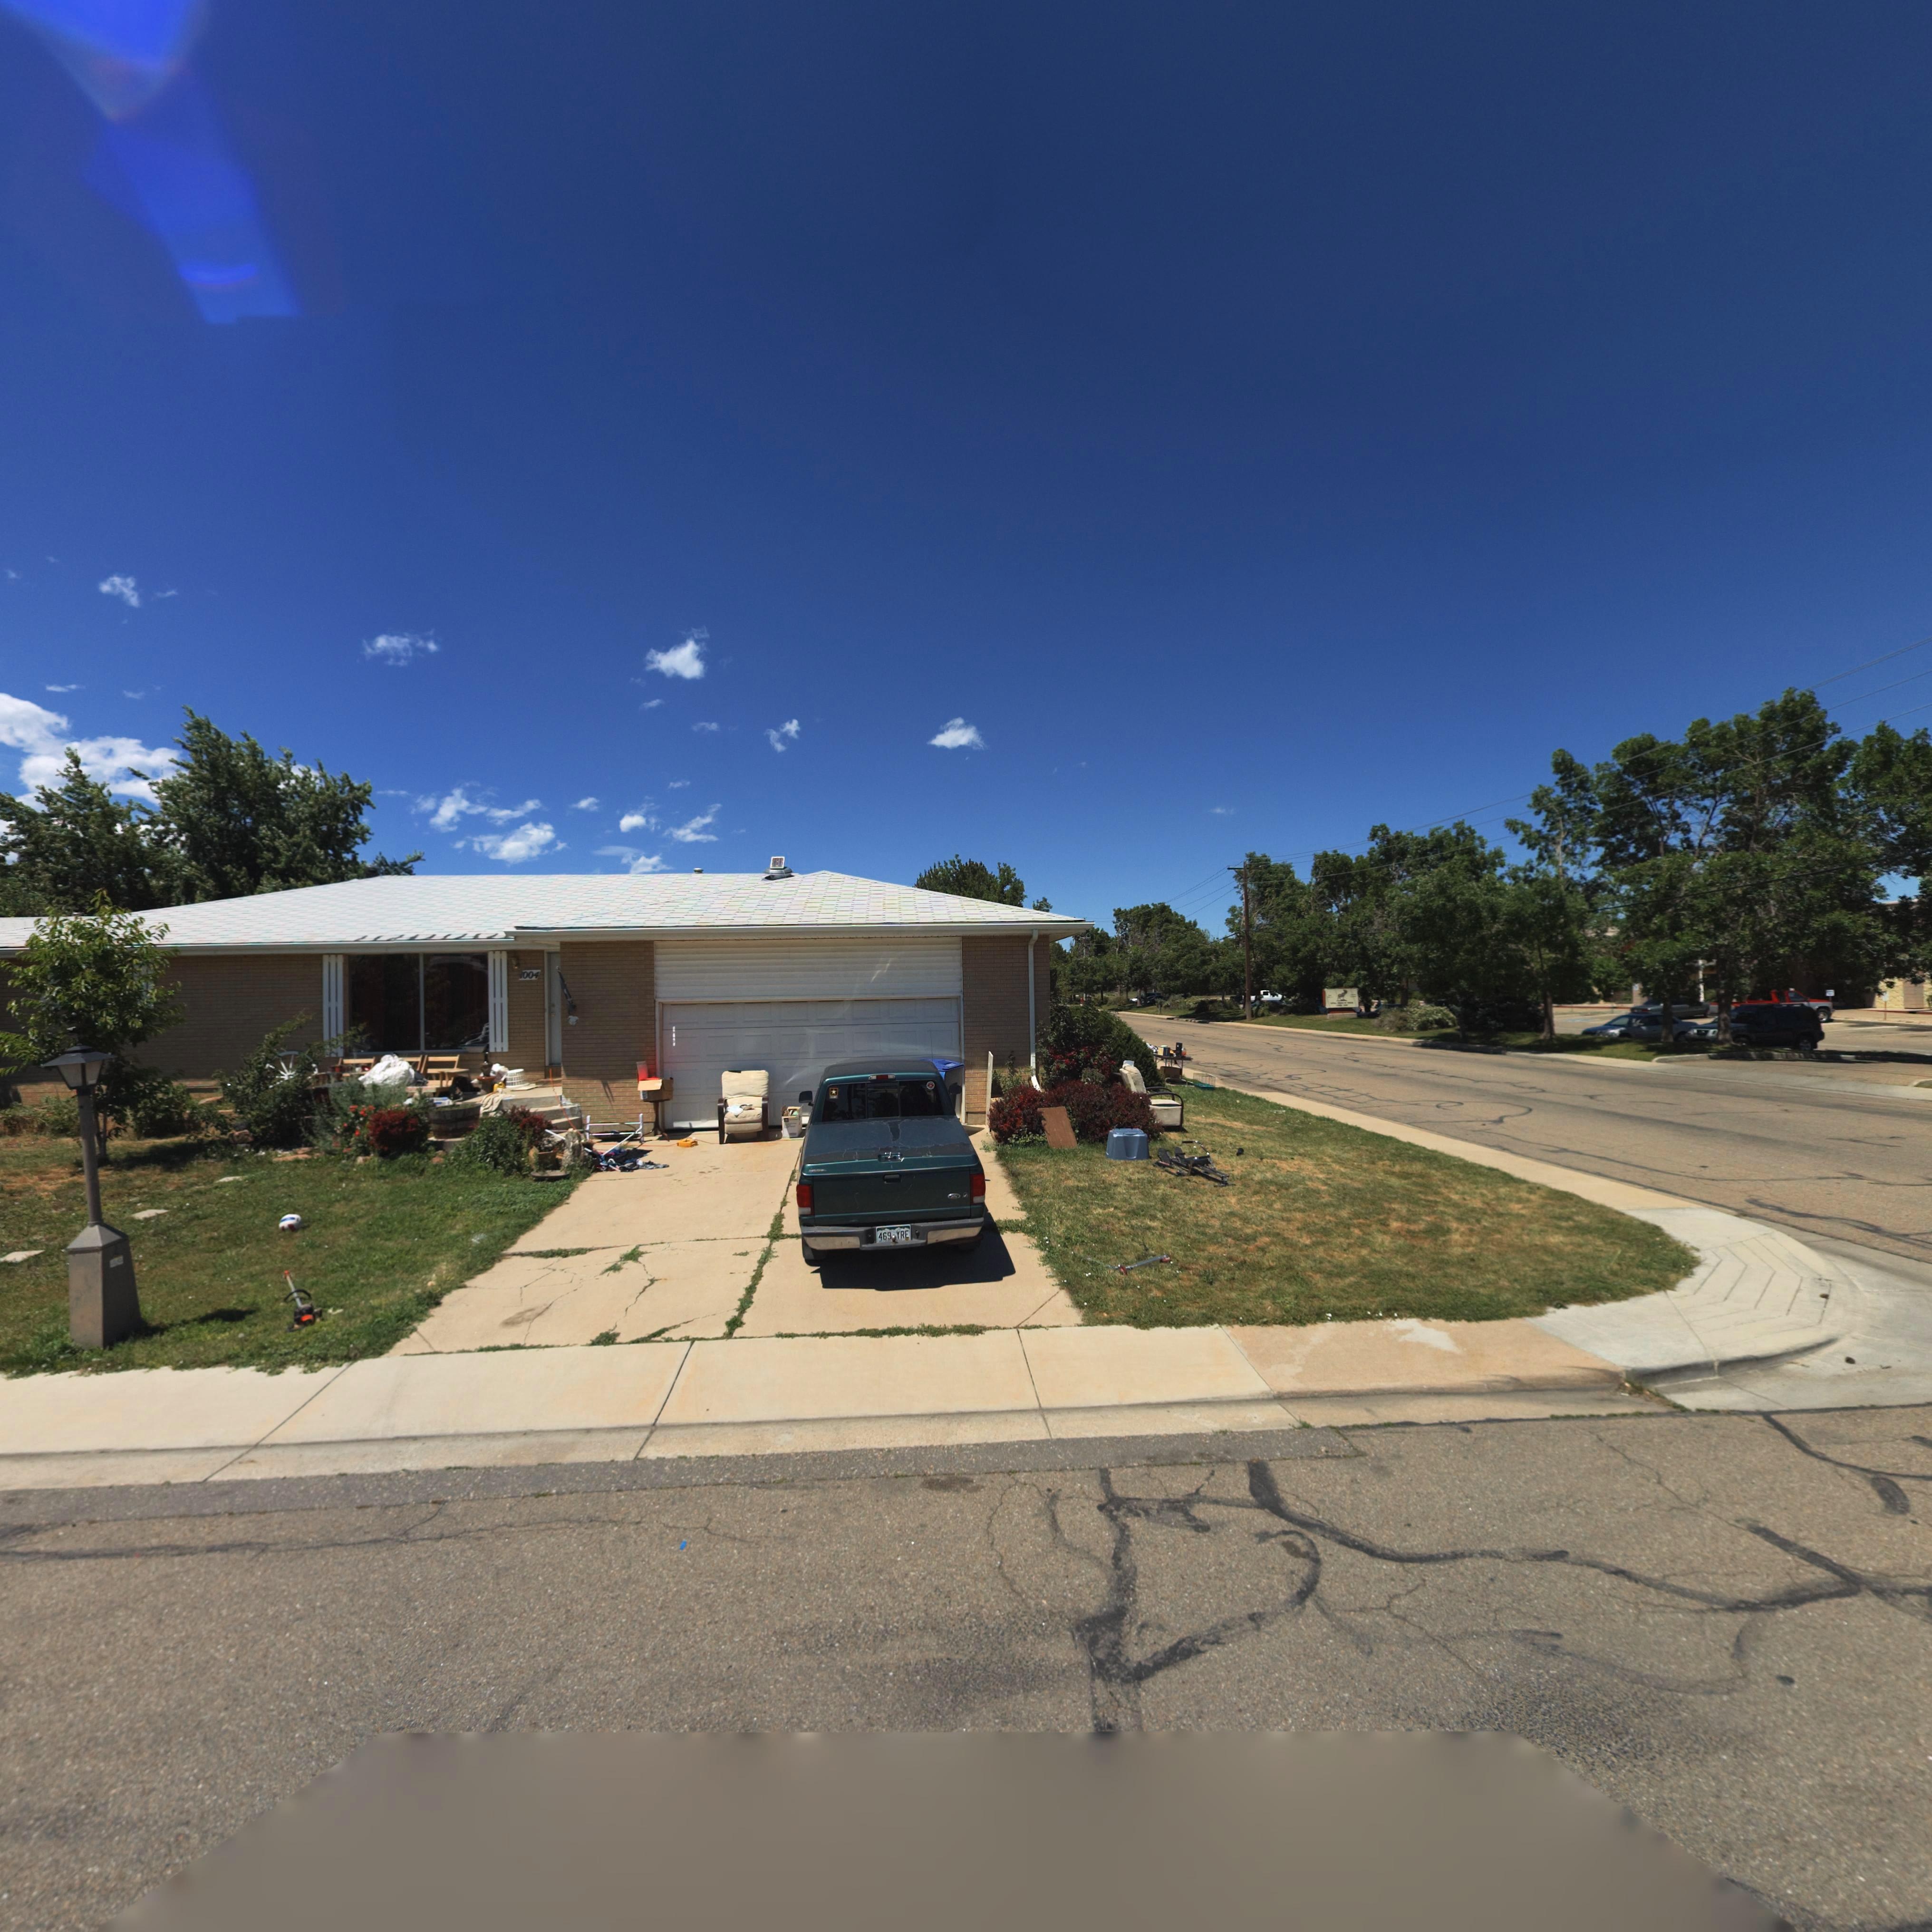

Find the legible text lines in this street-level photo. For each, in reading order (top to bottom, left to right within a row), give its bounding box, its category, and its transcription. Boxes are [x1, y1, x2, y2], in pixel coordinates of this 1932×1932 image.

[519, 971, 540, 979] StreetNumber: 1004